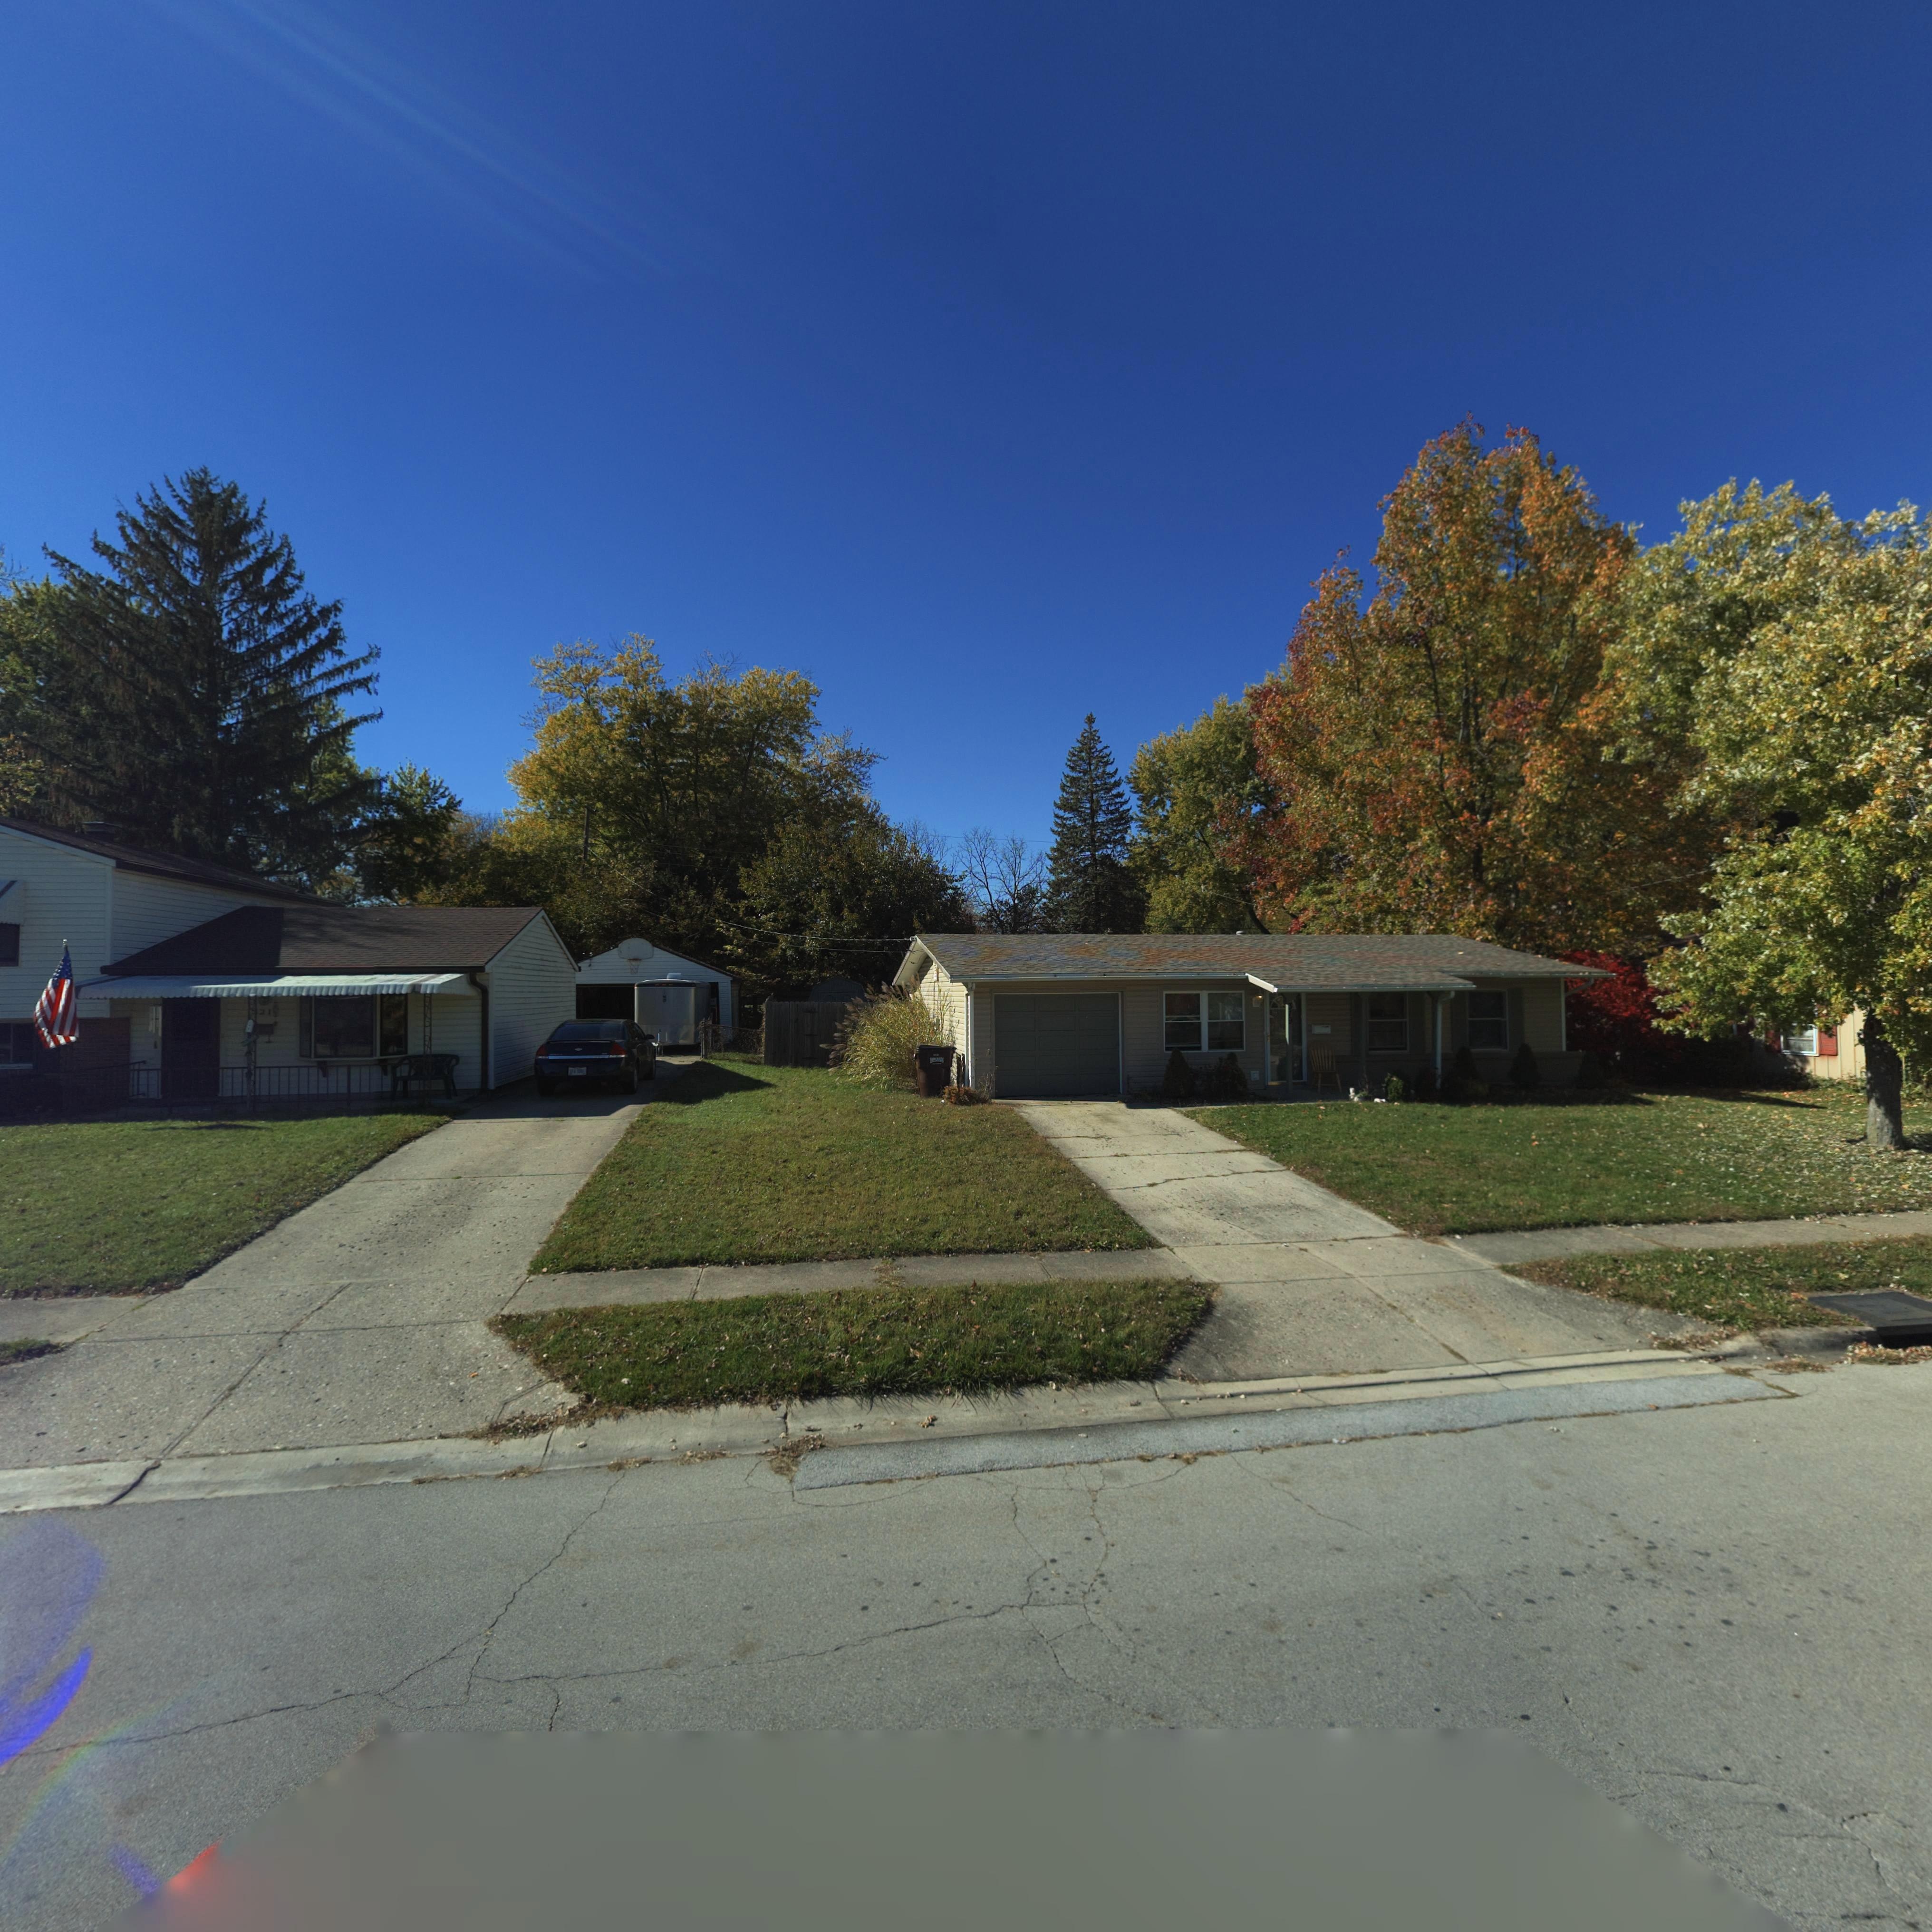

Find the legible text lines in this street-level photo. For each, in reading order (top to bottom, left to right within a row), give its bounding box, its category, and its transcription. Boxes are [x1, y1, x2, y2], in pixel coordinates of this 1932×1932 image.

[257, 1008, 272, 1016] StreetNumber: 21
[1287, 1002, 1294, 1025] StreetNumber: 319